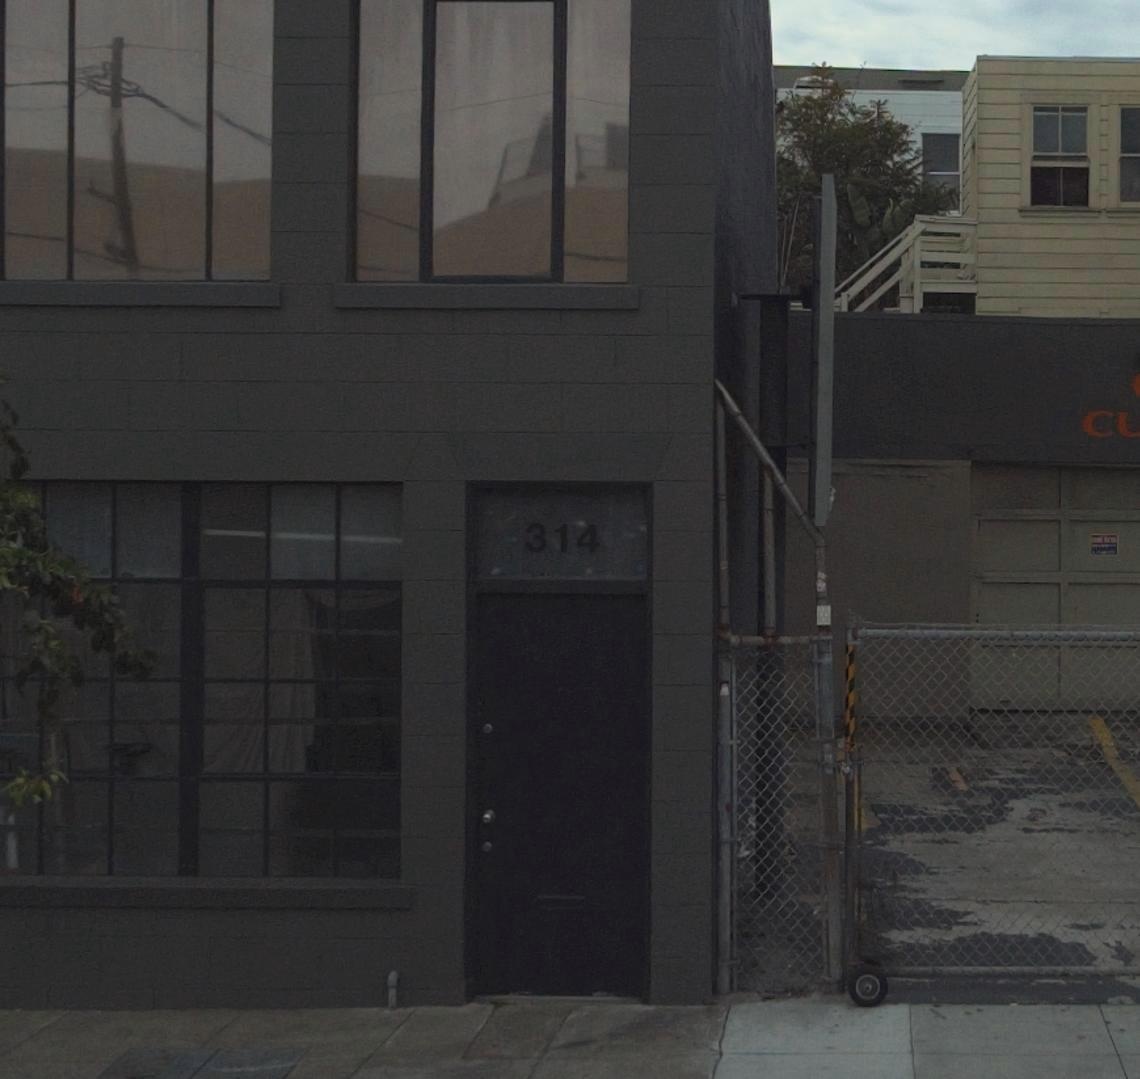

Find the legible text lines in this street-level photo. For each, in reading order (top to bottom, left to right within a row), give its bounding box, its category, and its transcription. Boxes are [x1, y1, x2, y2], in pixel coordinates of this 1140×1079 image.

[1080, 408, 1117, 440] None: C
[524, 521, 602, 555] StreetNumber: 314